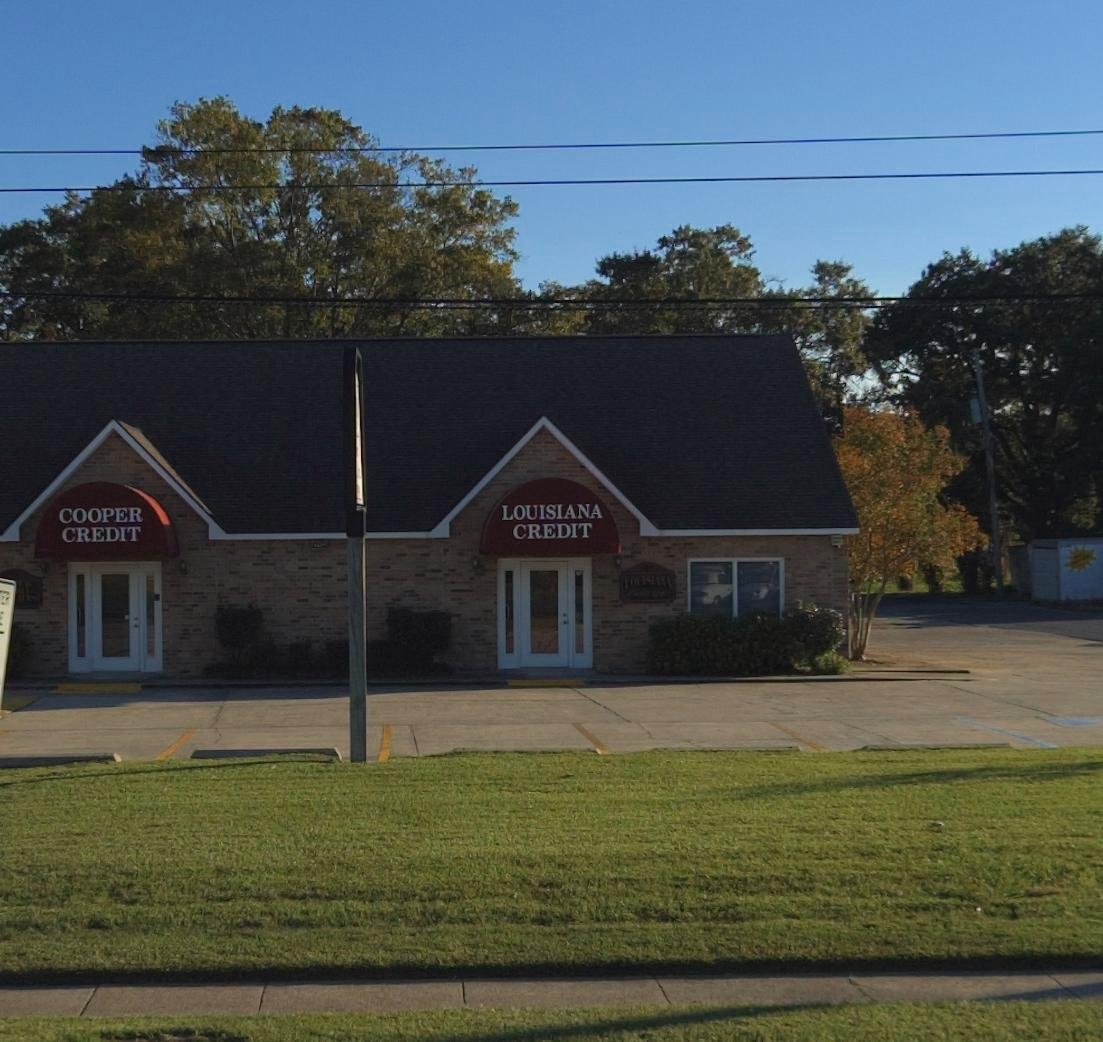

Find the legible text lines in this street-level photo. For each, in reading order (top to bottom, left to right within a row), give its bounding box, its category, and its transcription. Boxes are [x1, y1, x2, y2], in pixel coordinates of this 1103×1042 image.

[58, 506, 144, 524] BusinessName: COOPER
[500, 503, 604, 521] BusinessName: LOUISIANA
[61, 525, 142, 543] BusinessName: CREDIT
[511, 522, 593, 540] BusinessName: CREDIT